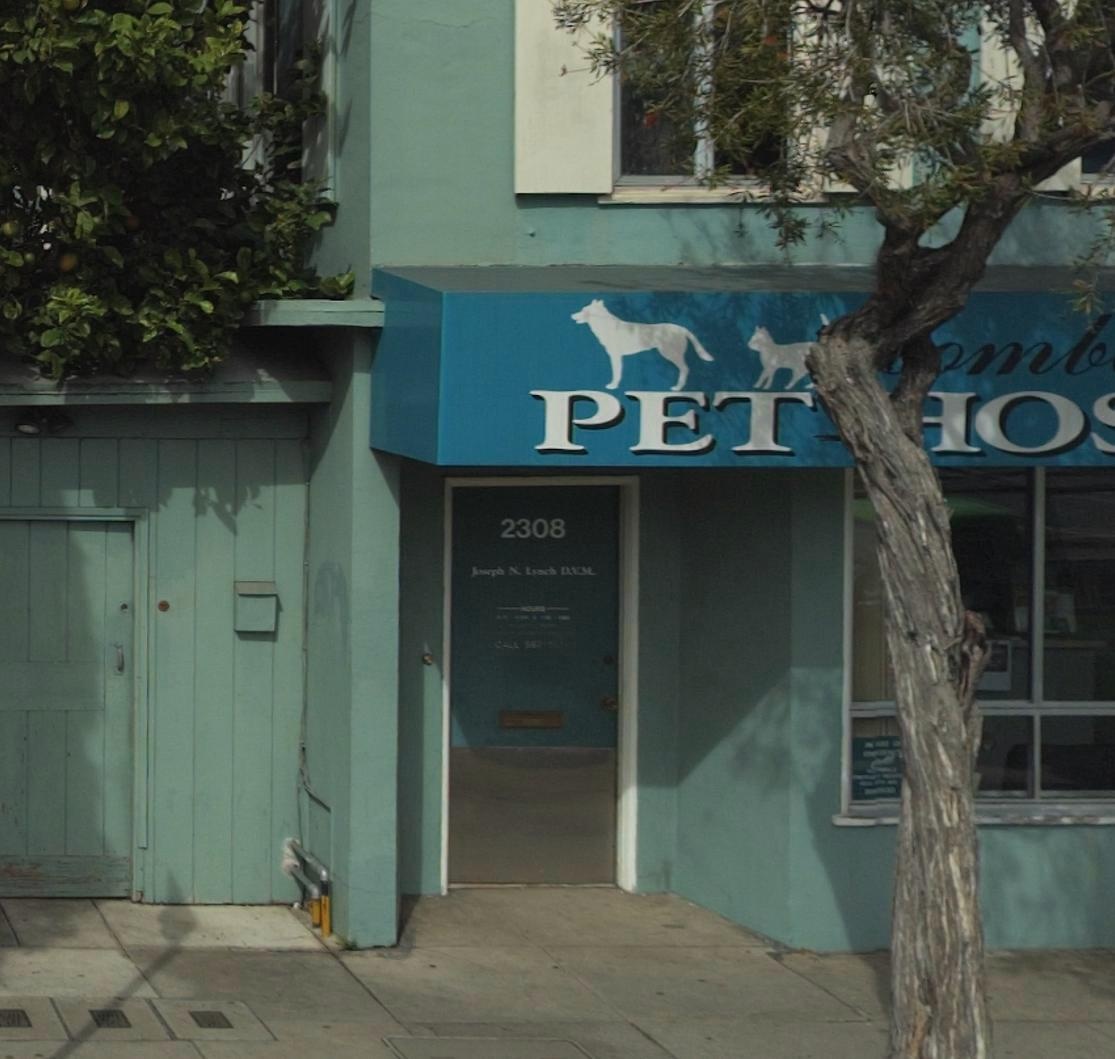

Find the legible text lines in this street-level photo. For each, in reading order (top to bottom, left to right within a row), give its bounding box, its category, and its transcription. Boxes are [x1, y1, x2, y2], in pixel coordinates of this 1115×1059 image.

[965, 312, 1114, 377] BusinessName: mb
[527, 389, 1088, 455] BusinessName: PET *O
[500, 517, 566, 538] StreetNumber: 2308
[471, 566, 595, 577] BusinessName: Josept N. L***b D.V.M.
[520, 605, 546, 613] None: HOURS
[493, 640, 520, 650] None: CALL